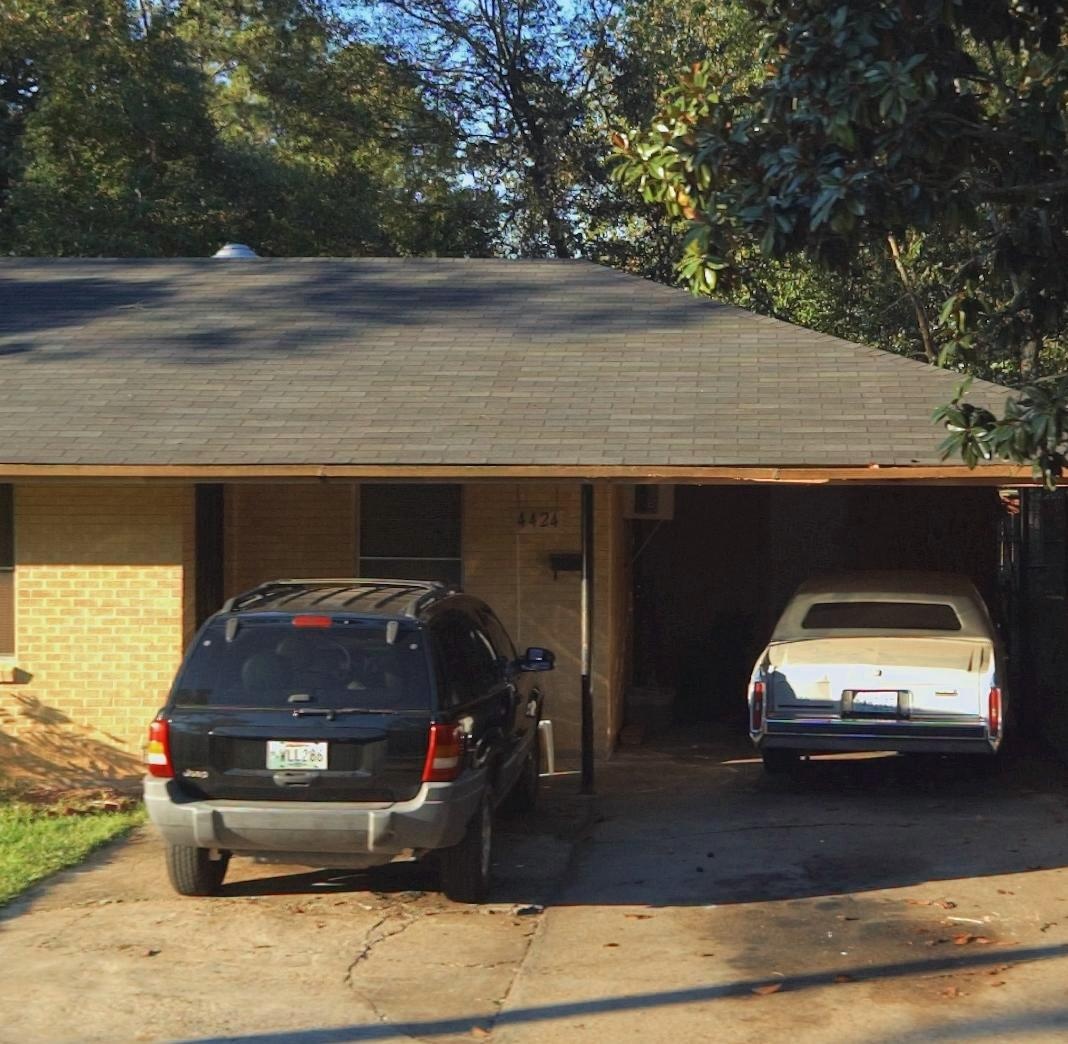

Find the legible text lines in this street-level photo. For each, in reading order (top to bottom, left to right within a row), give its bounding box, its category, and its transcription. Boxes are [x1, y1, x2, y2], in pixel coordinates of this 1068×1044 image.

[515, 510, 559, 528] StreetNumber: 4424
[278, 748, 323, 762] None: WLL286
[182, 768, 209, 780] None: Jeep